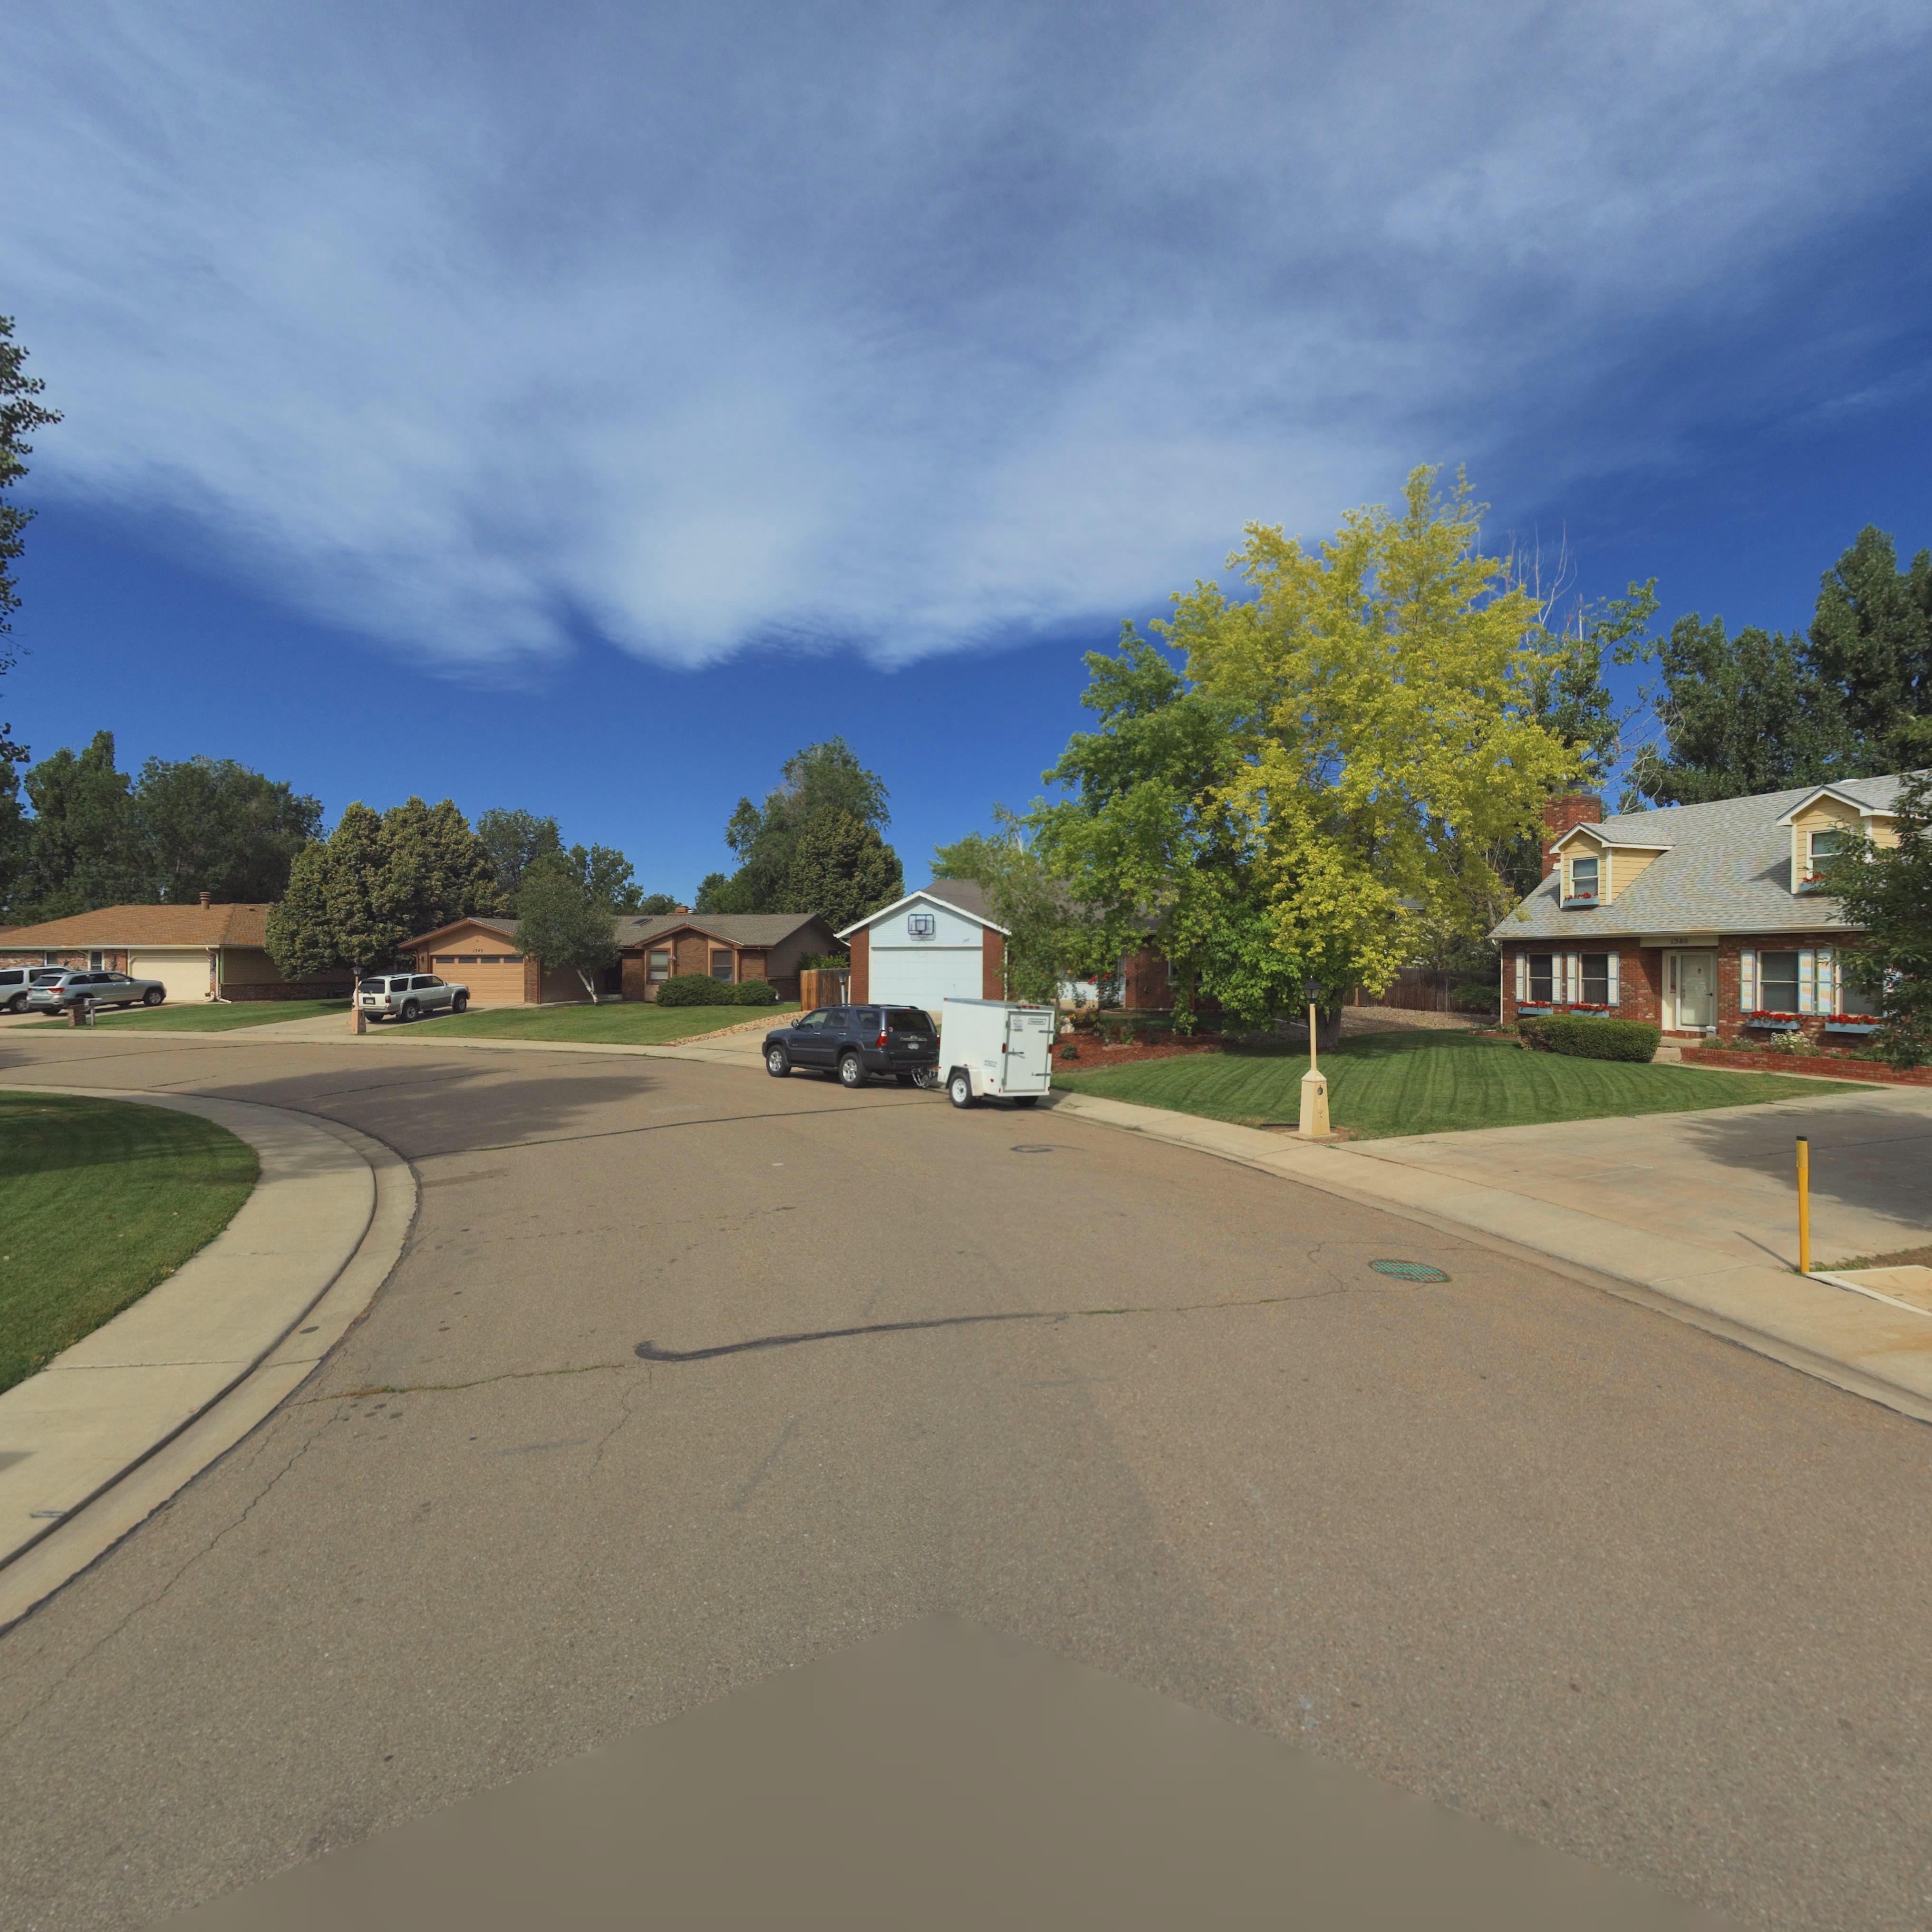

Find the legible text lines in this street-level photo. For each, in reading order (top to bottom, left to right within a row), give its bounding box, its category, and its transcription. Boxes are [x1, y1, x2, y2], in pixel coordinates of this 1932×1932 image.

[1670, 937, 1689, 944] StreetNumber: 1380
[472, 948, 483, 953] StreetNumber: 1343